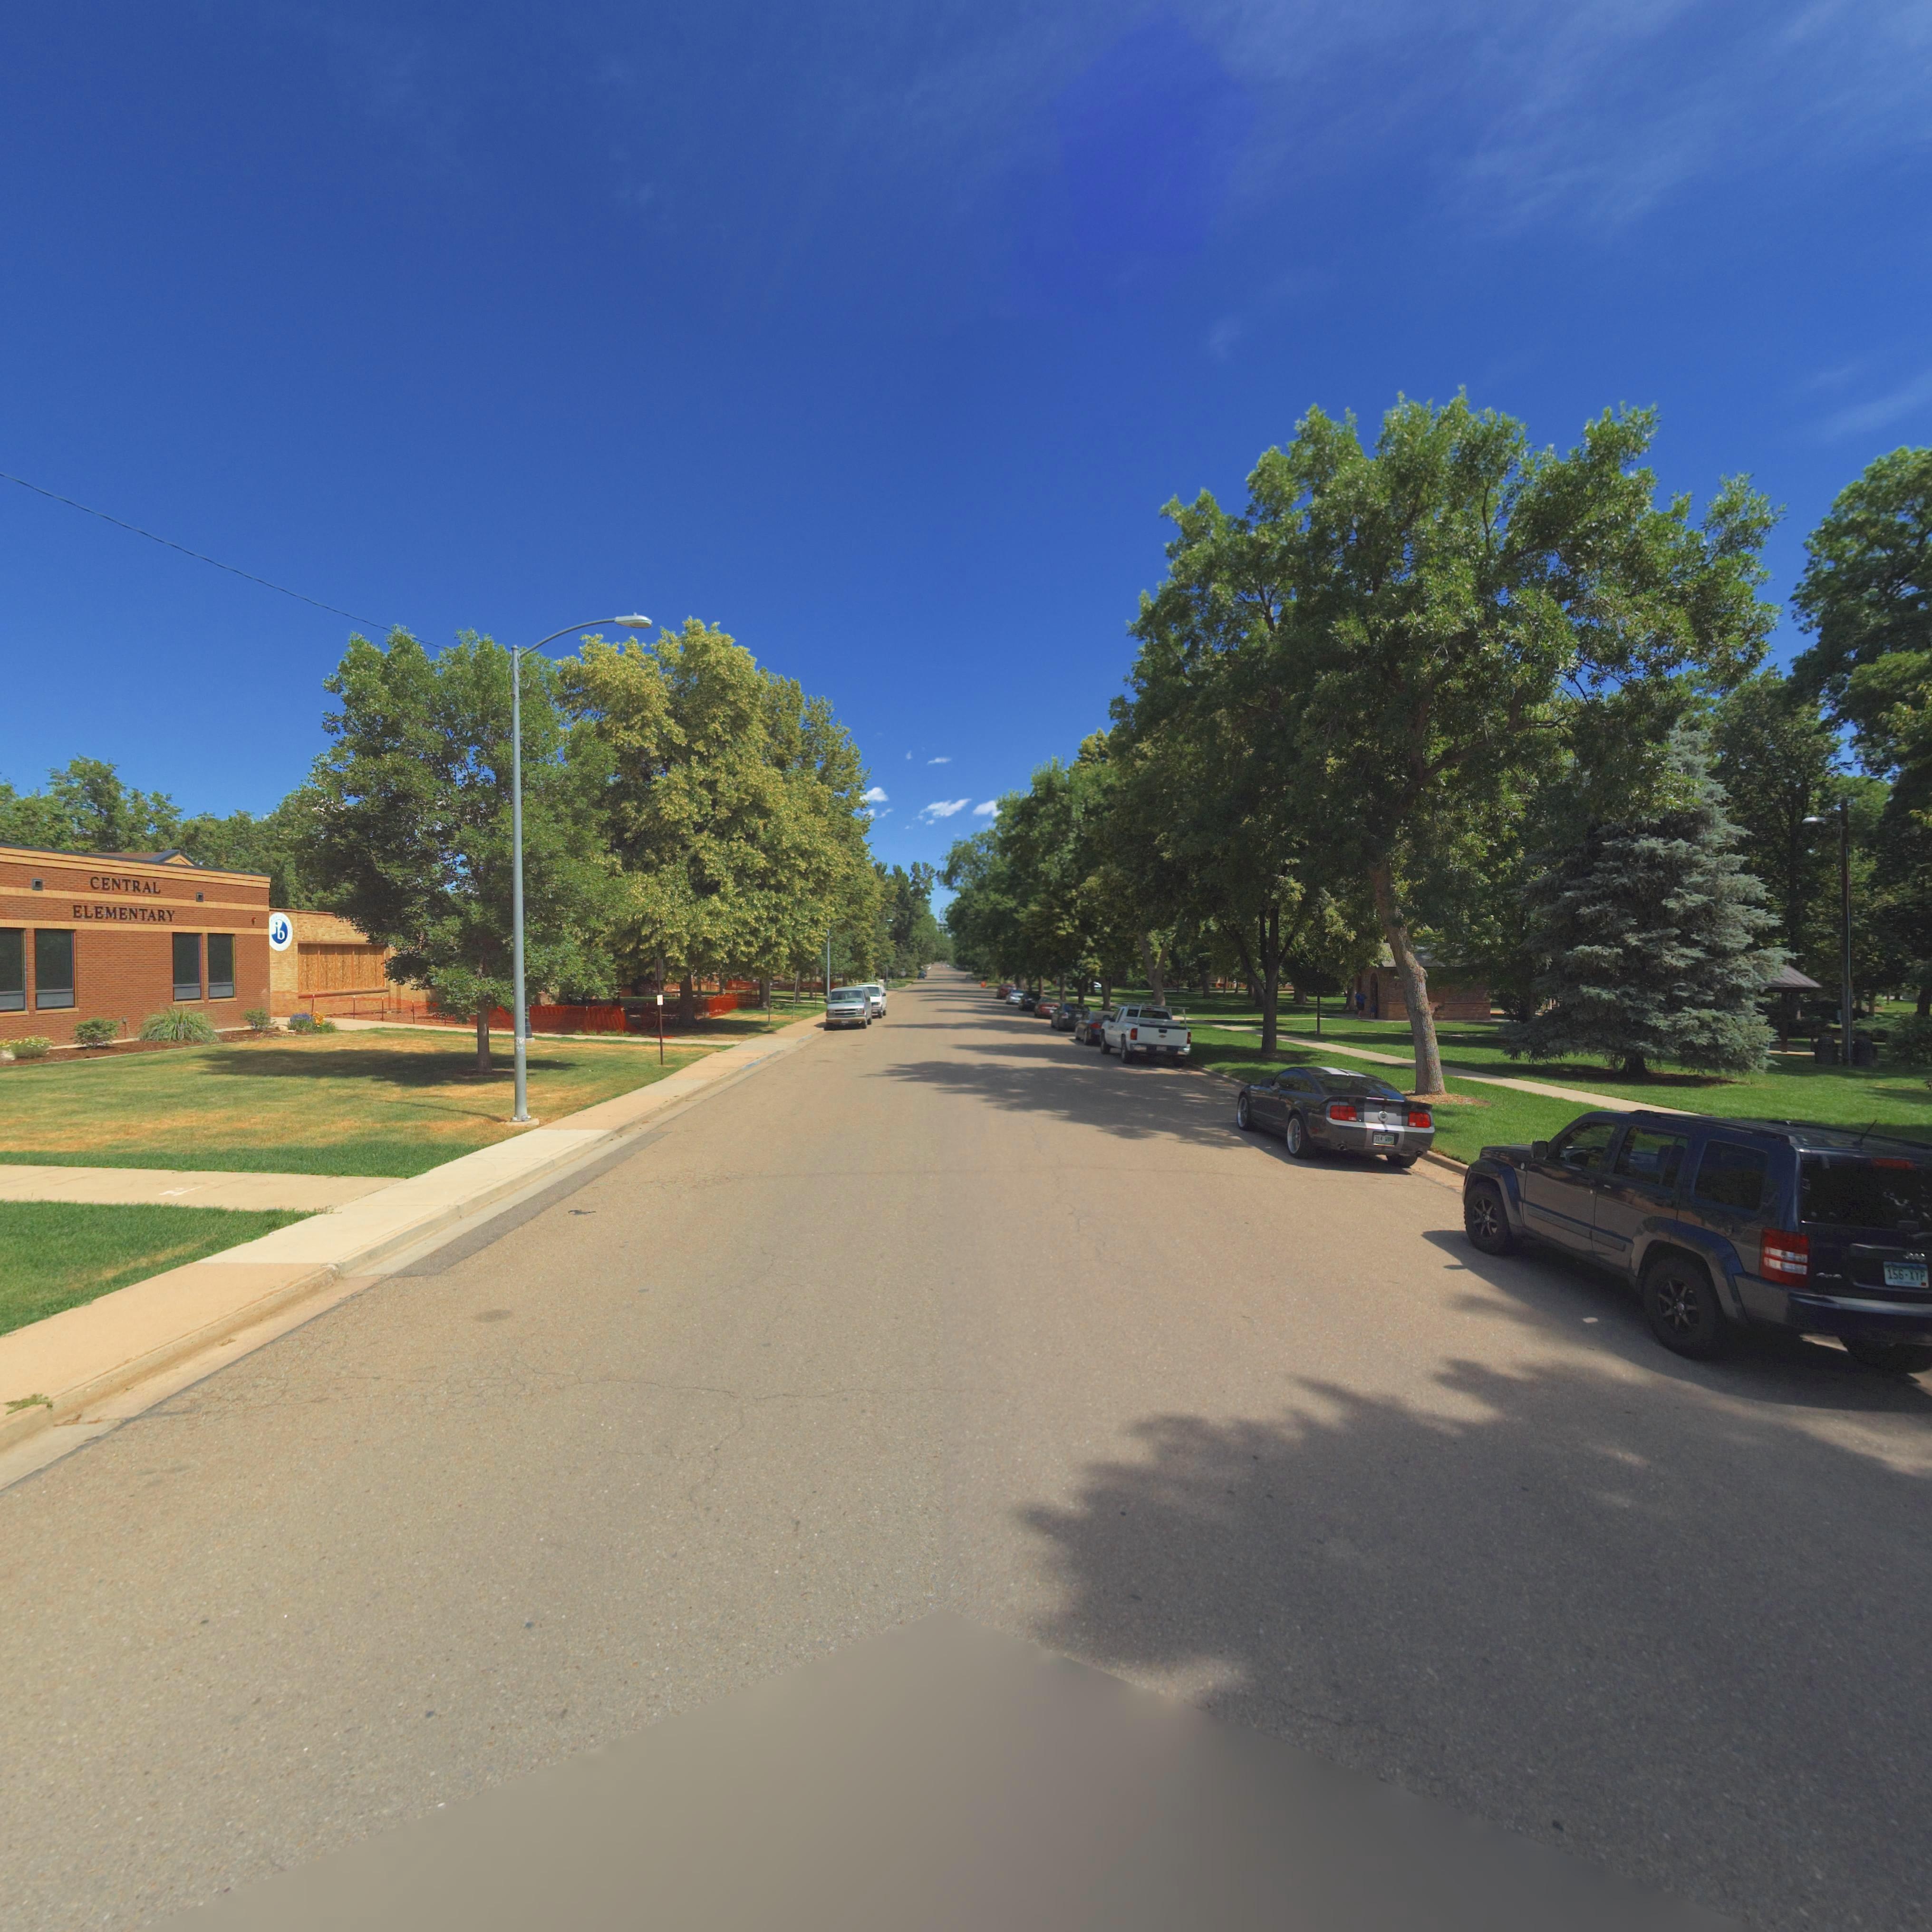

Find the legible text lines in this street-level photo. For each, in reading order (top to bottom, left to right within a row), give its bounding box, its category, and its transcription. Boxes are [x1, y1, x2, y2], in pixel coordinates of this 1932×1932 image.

[89, 876, 161, 894] BusinessName: CENTRAL
[72, 904, 175, 922] BusinessName: ELEMENTARY